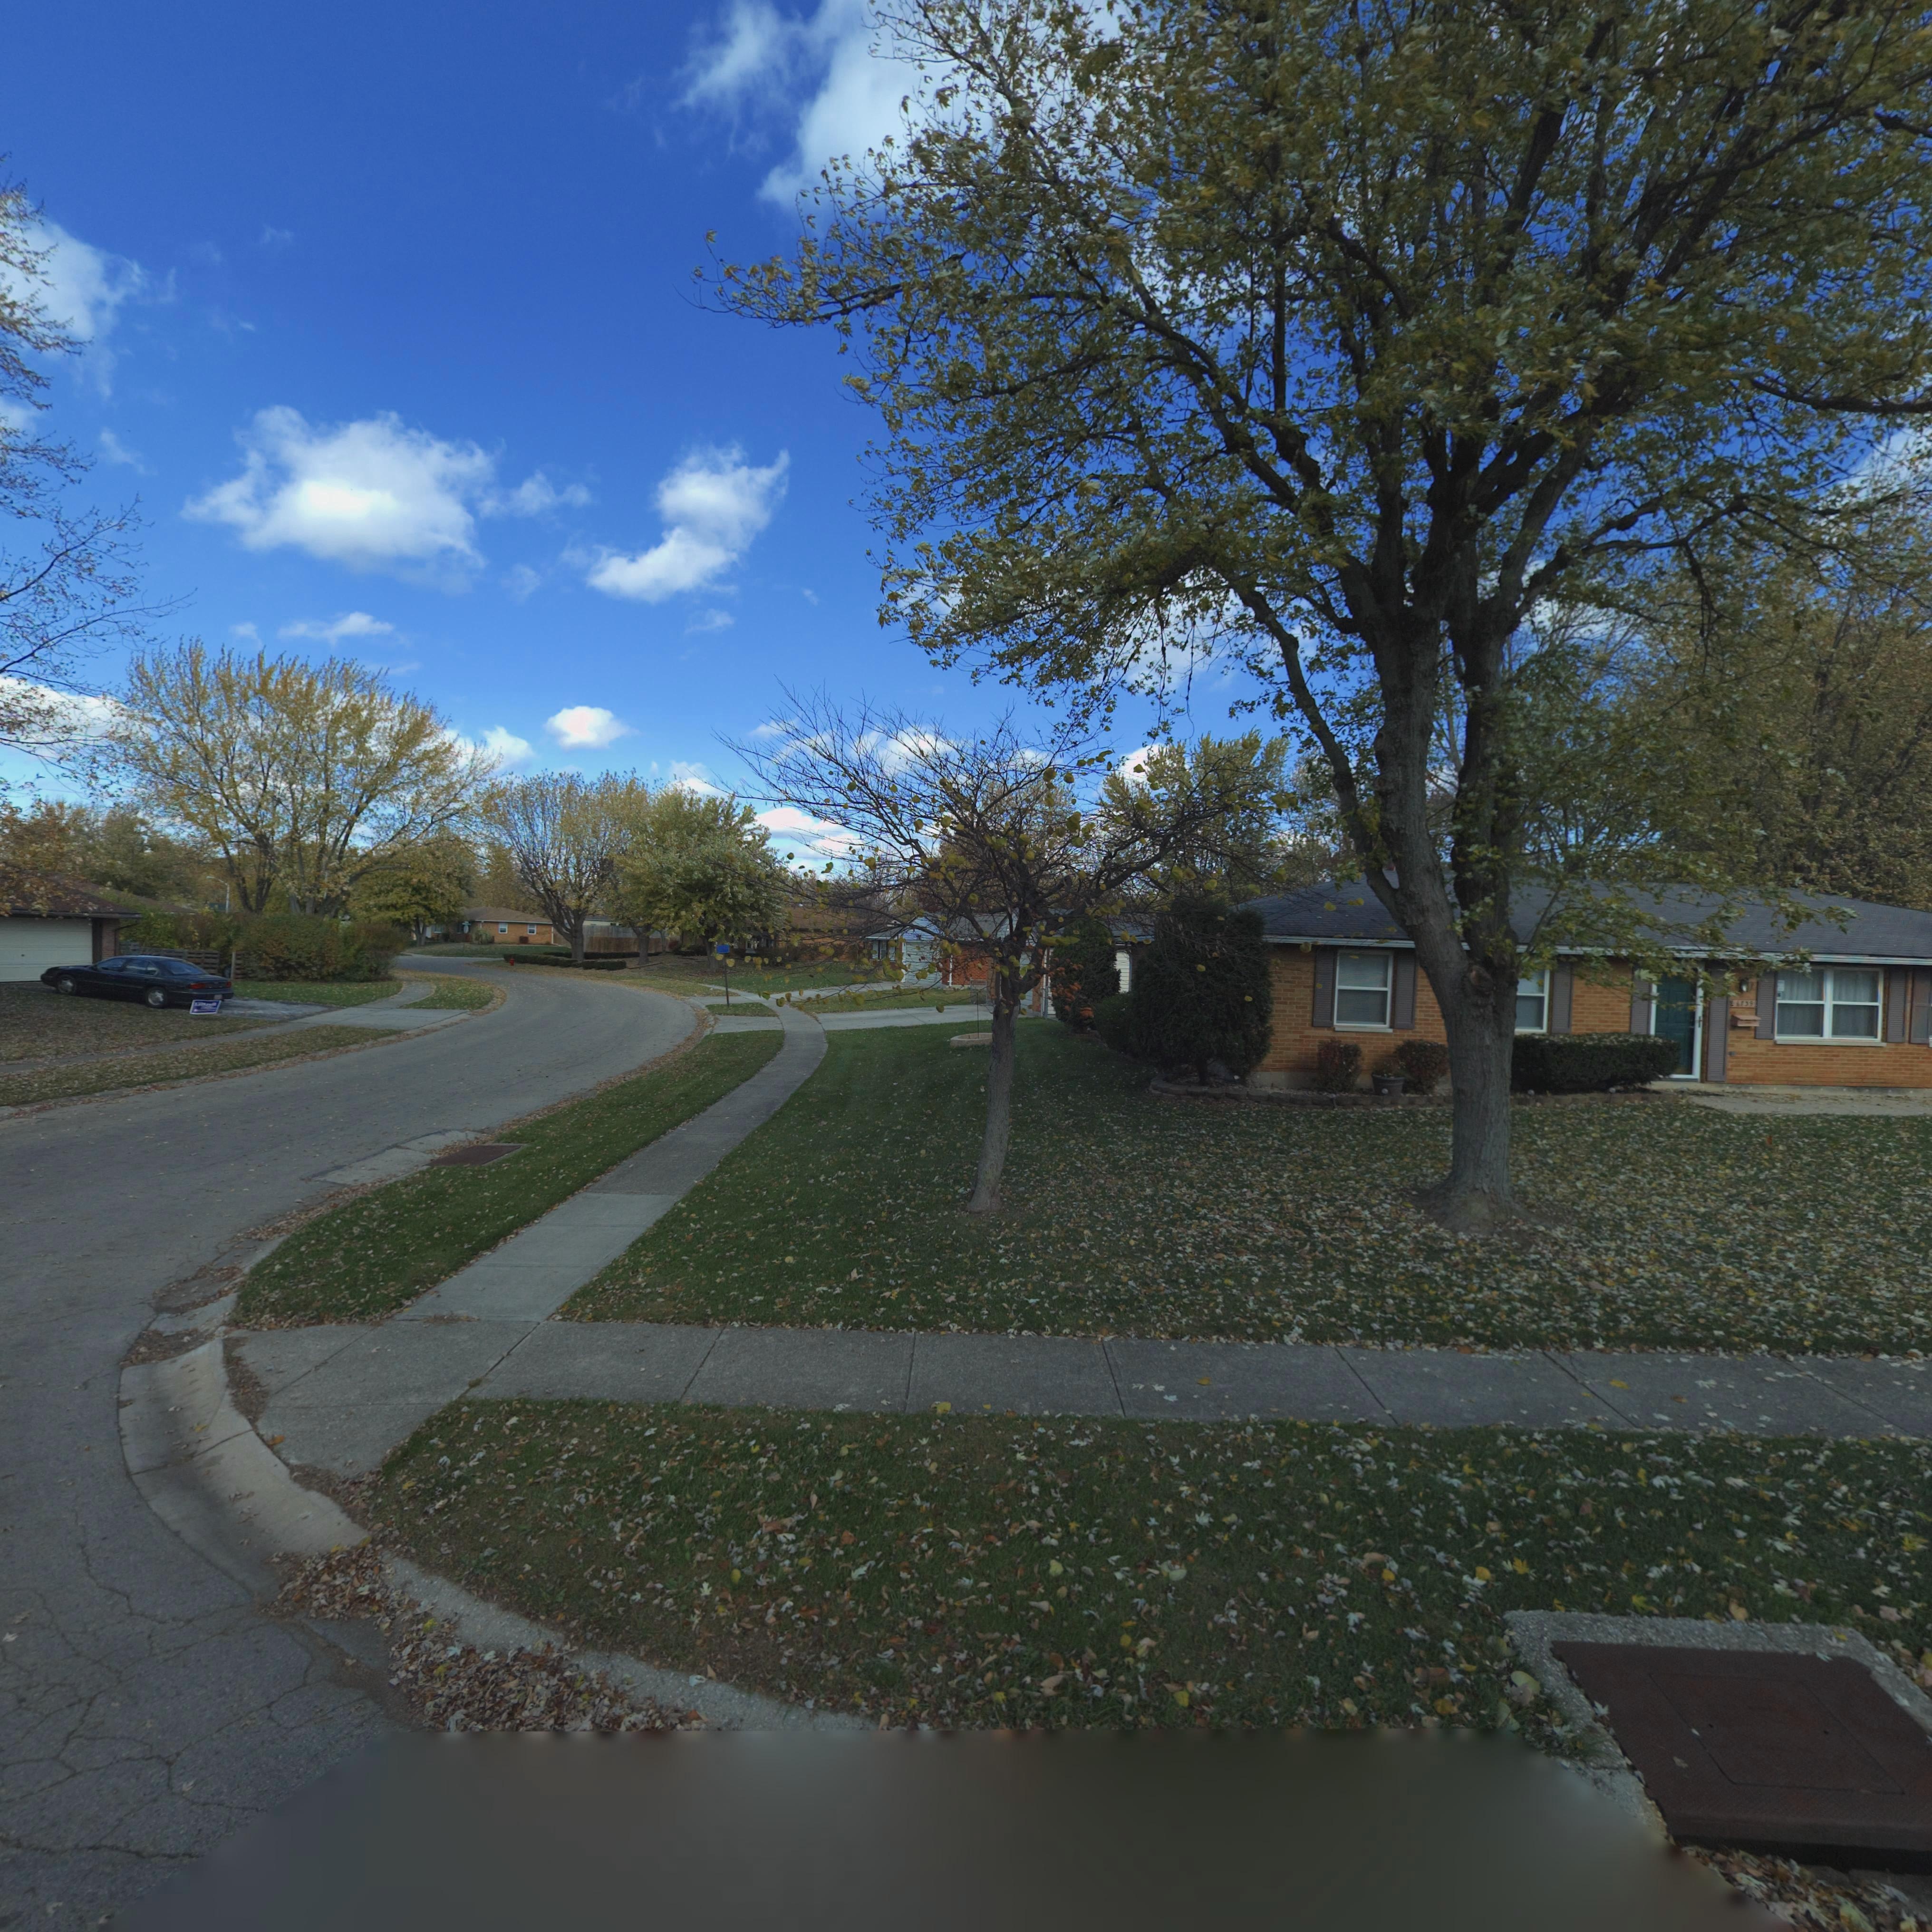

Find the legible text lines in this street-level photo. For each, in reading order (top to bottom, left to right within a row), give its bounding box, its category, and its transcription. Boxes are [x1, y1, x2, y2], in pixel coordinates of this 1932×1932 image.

[1735, 1000, 1754, 1007] StreetNumber: 6*39